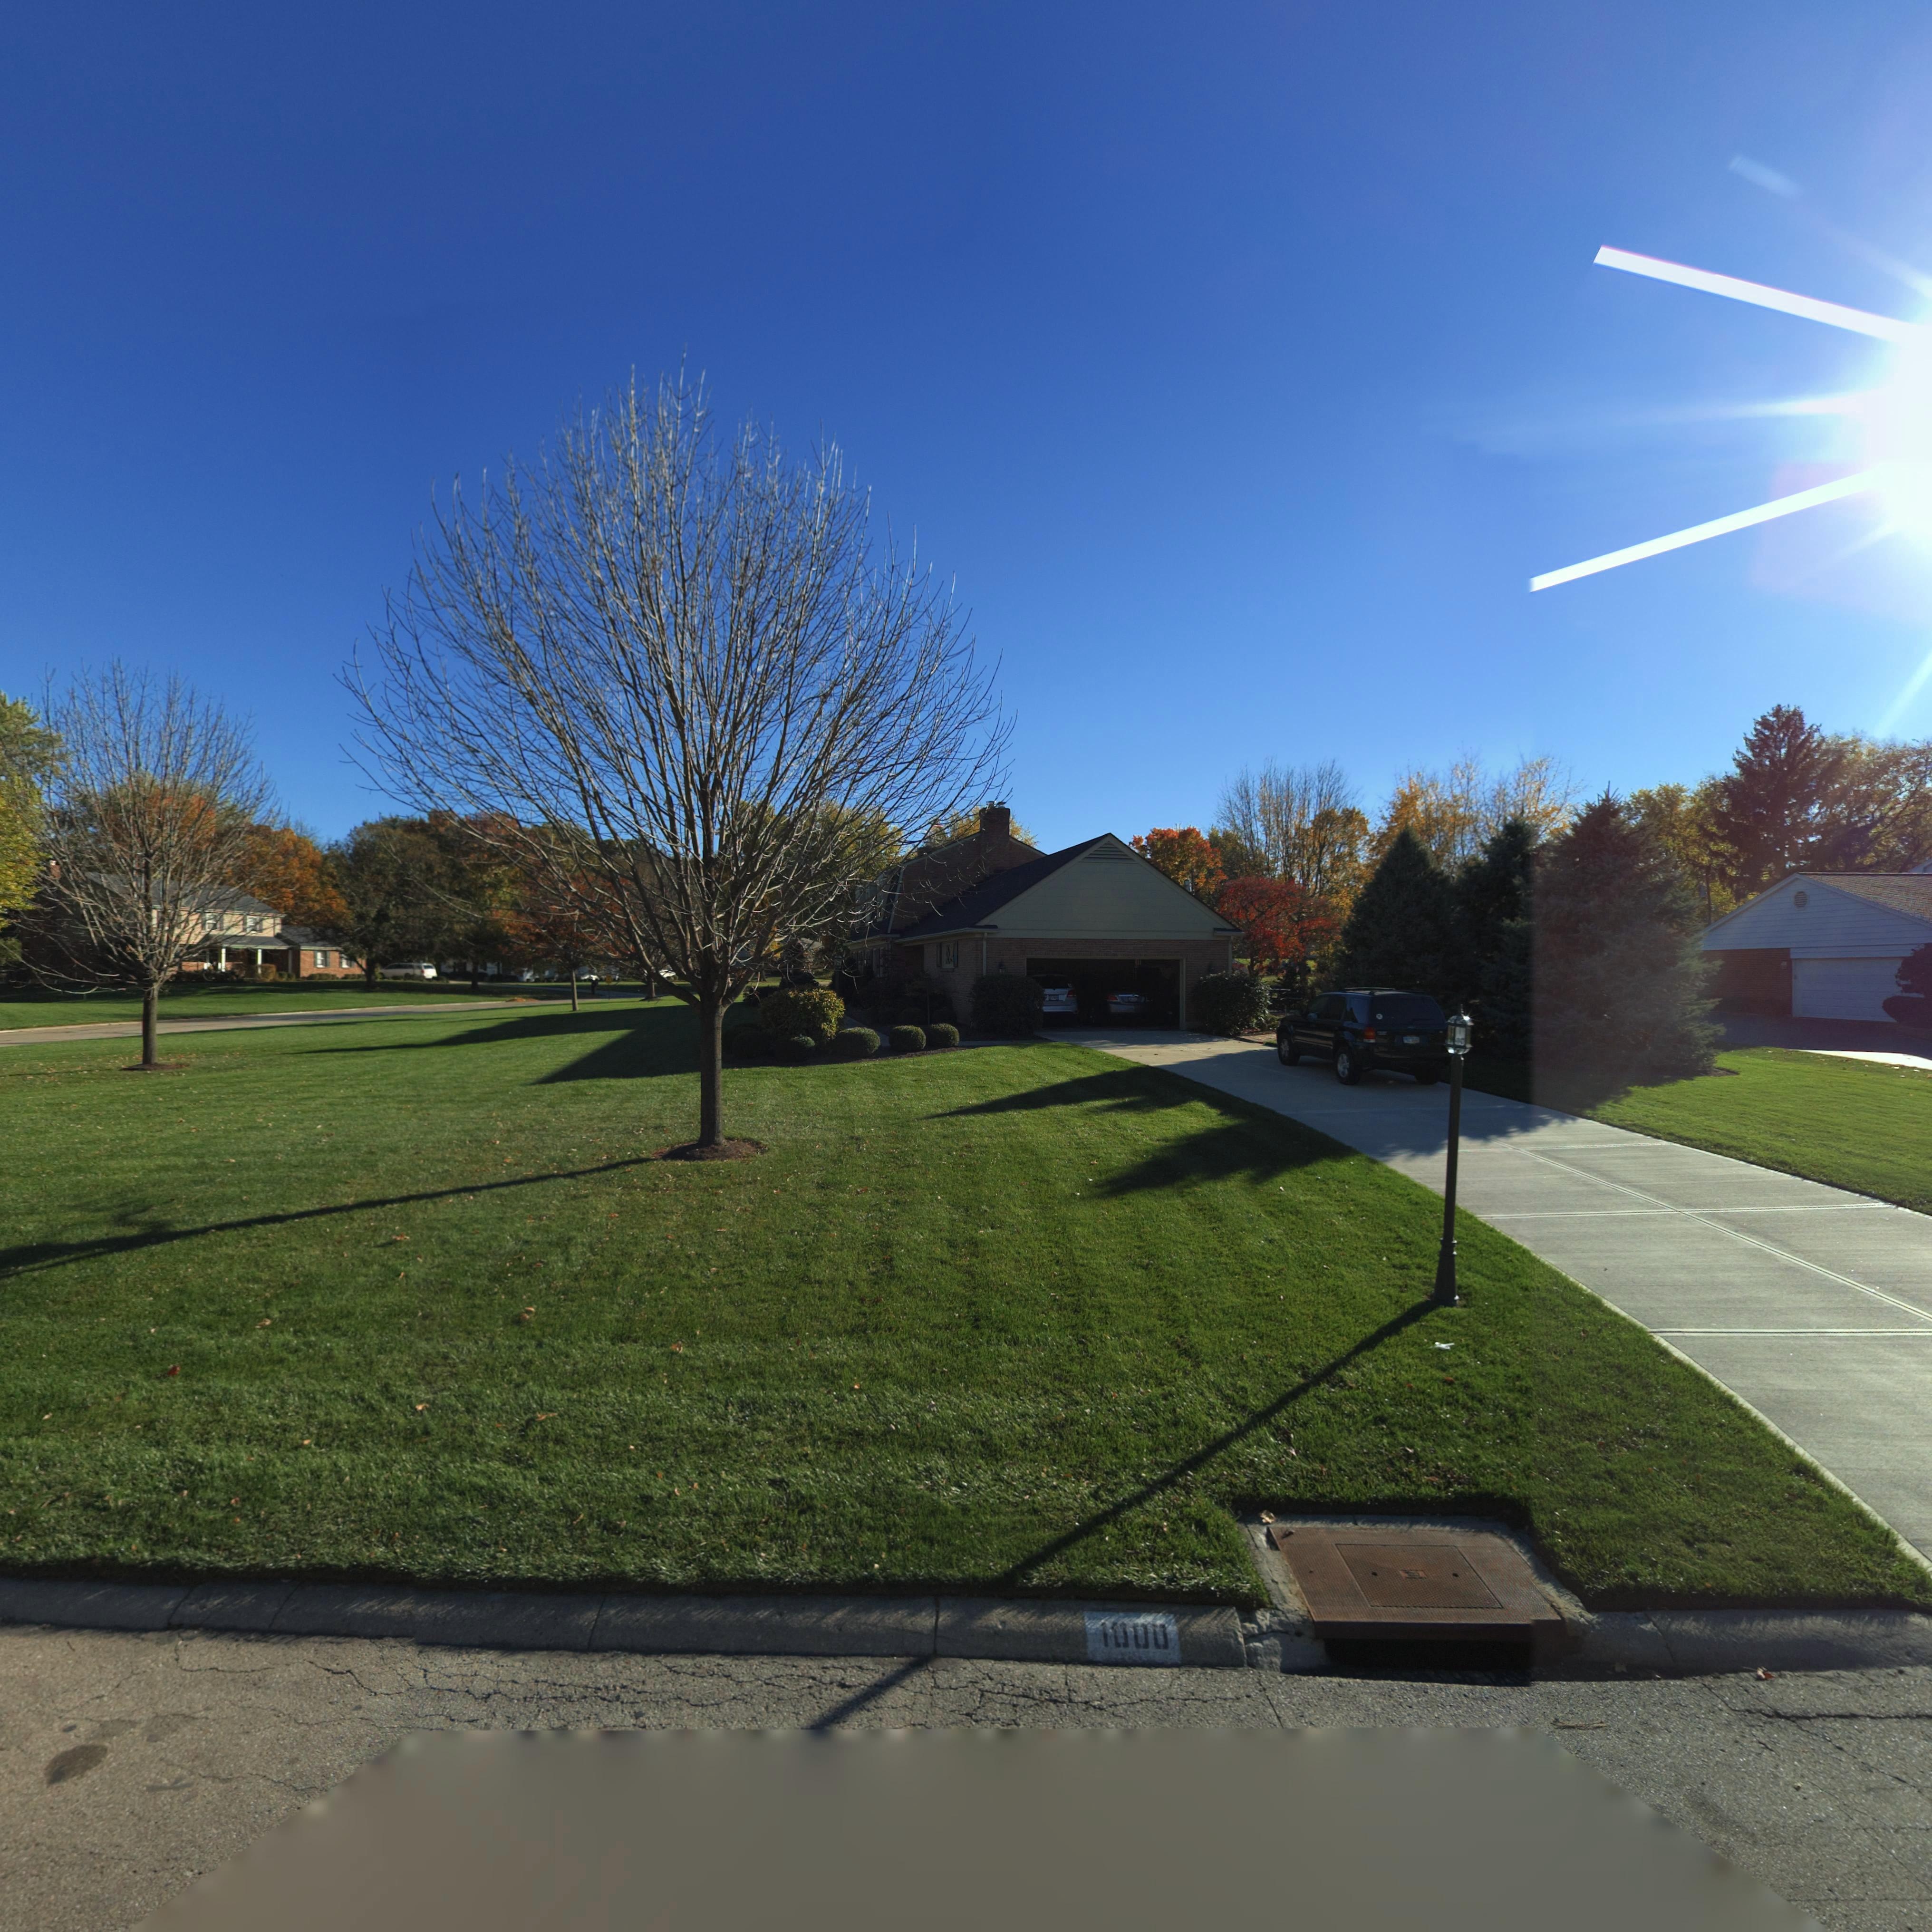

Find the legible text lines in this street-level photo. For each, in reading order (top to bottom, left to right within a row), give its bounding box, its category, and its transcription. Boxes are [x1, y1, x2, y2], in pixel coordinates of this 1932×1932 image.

[1099, 1620, 1171, 1651] StreetNumber: 1000